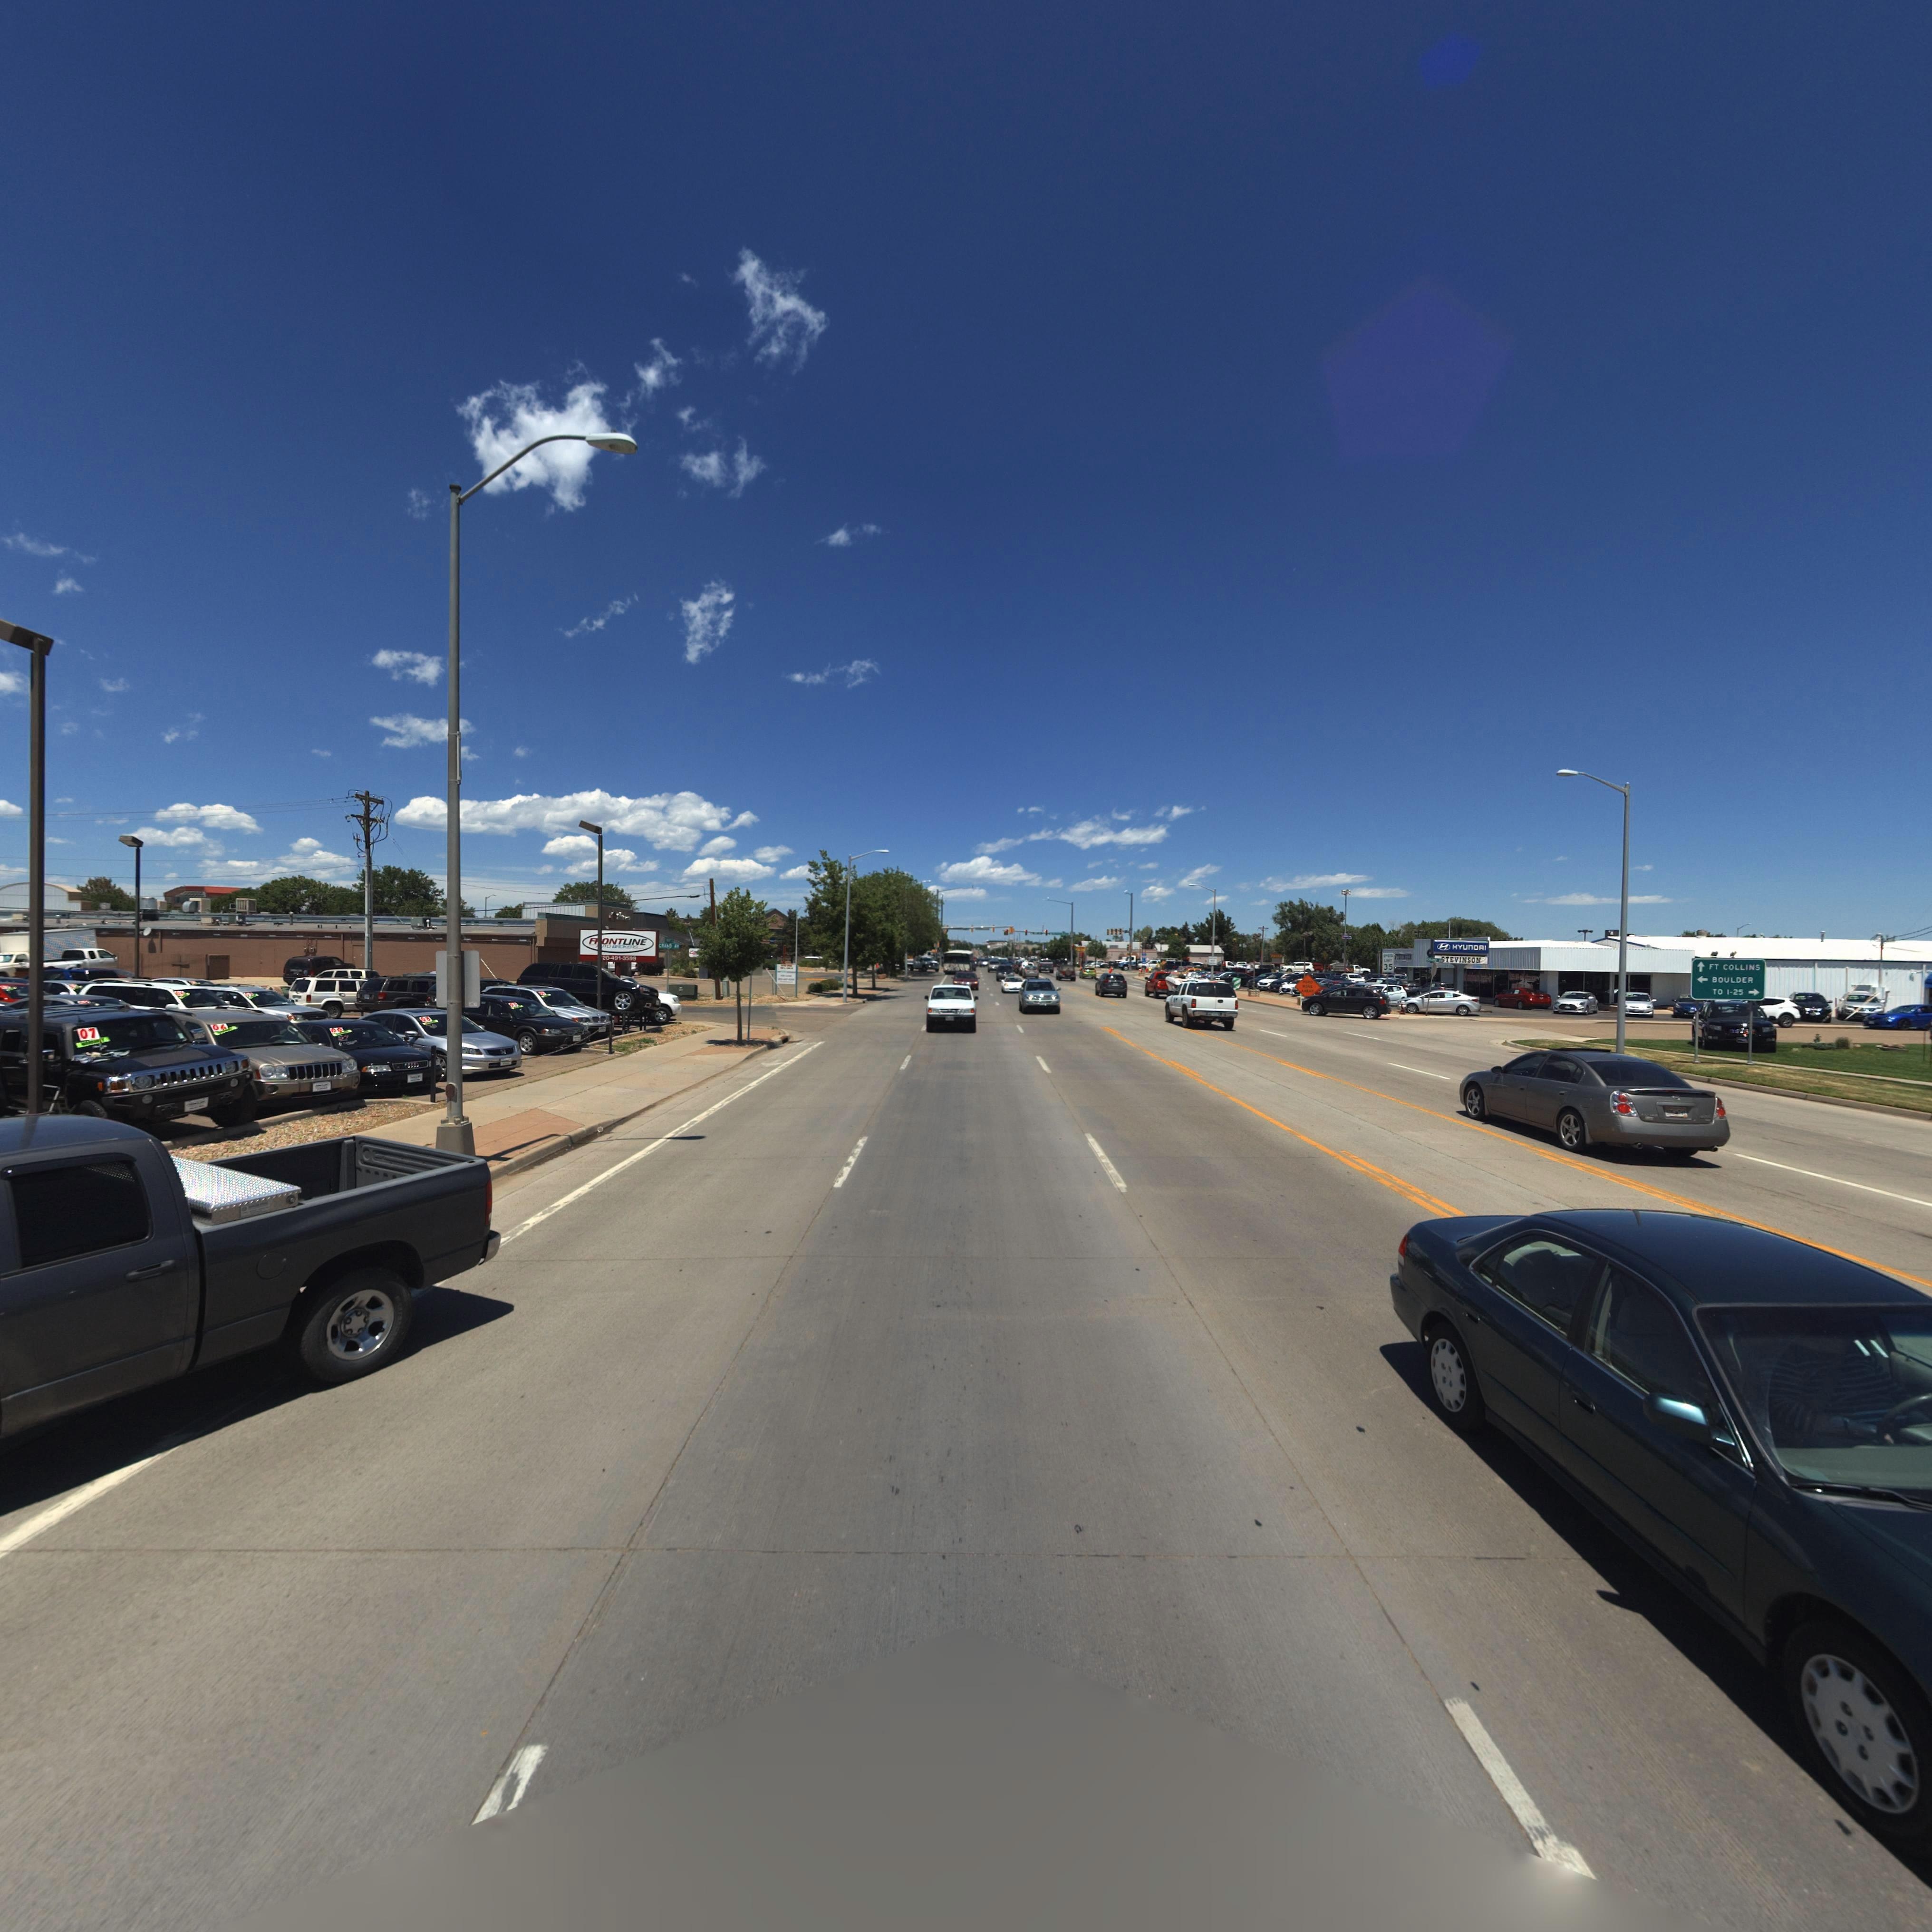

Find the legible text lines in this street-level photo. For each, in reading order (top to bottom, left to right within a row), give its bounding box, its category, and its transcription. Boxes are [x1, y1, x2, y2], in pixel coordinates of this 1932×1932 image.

[588, 937, 647, 945] BusinessName: F*ONTLINE
[658, 943, 679, 949] StreetName: GRAND AV
[1451, 943, 1487, 951] BusinessName: HYUnDAI
[689, 949, 696, 955] BusinessName: Go
[1271, 954, 1281, 957] BusinessName: ZOE
[1440, 956, 1482, 964] BusinessName: *TEVINSON